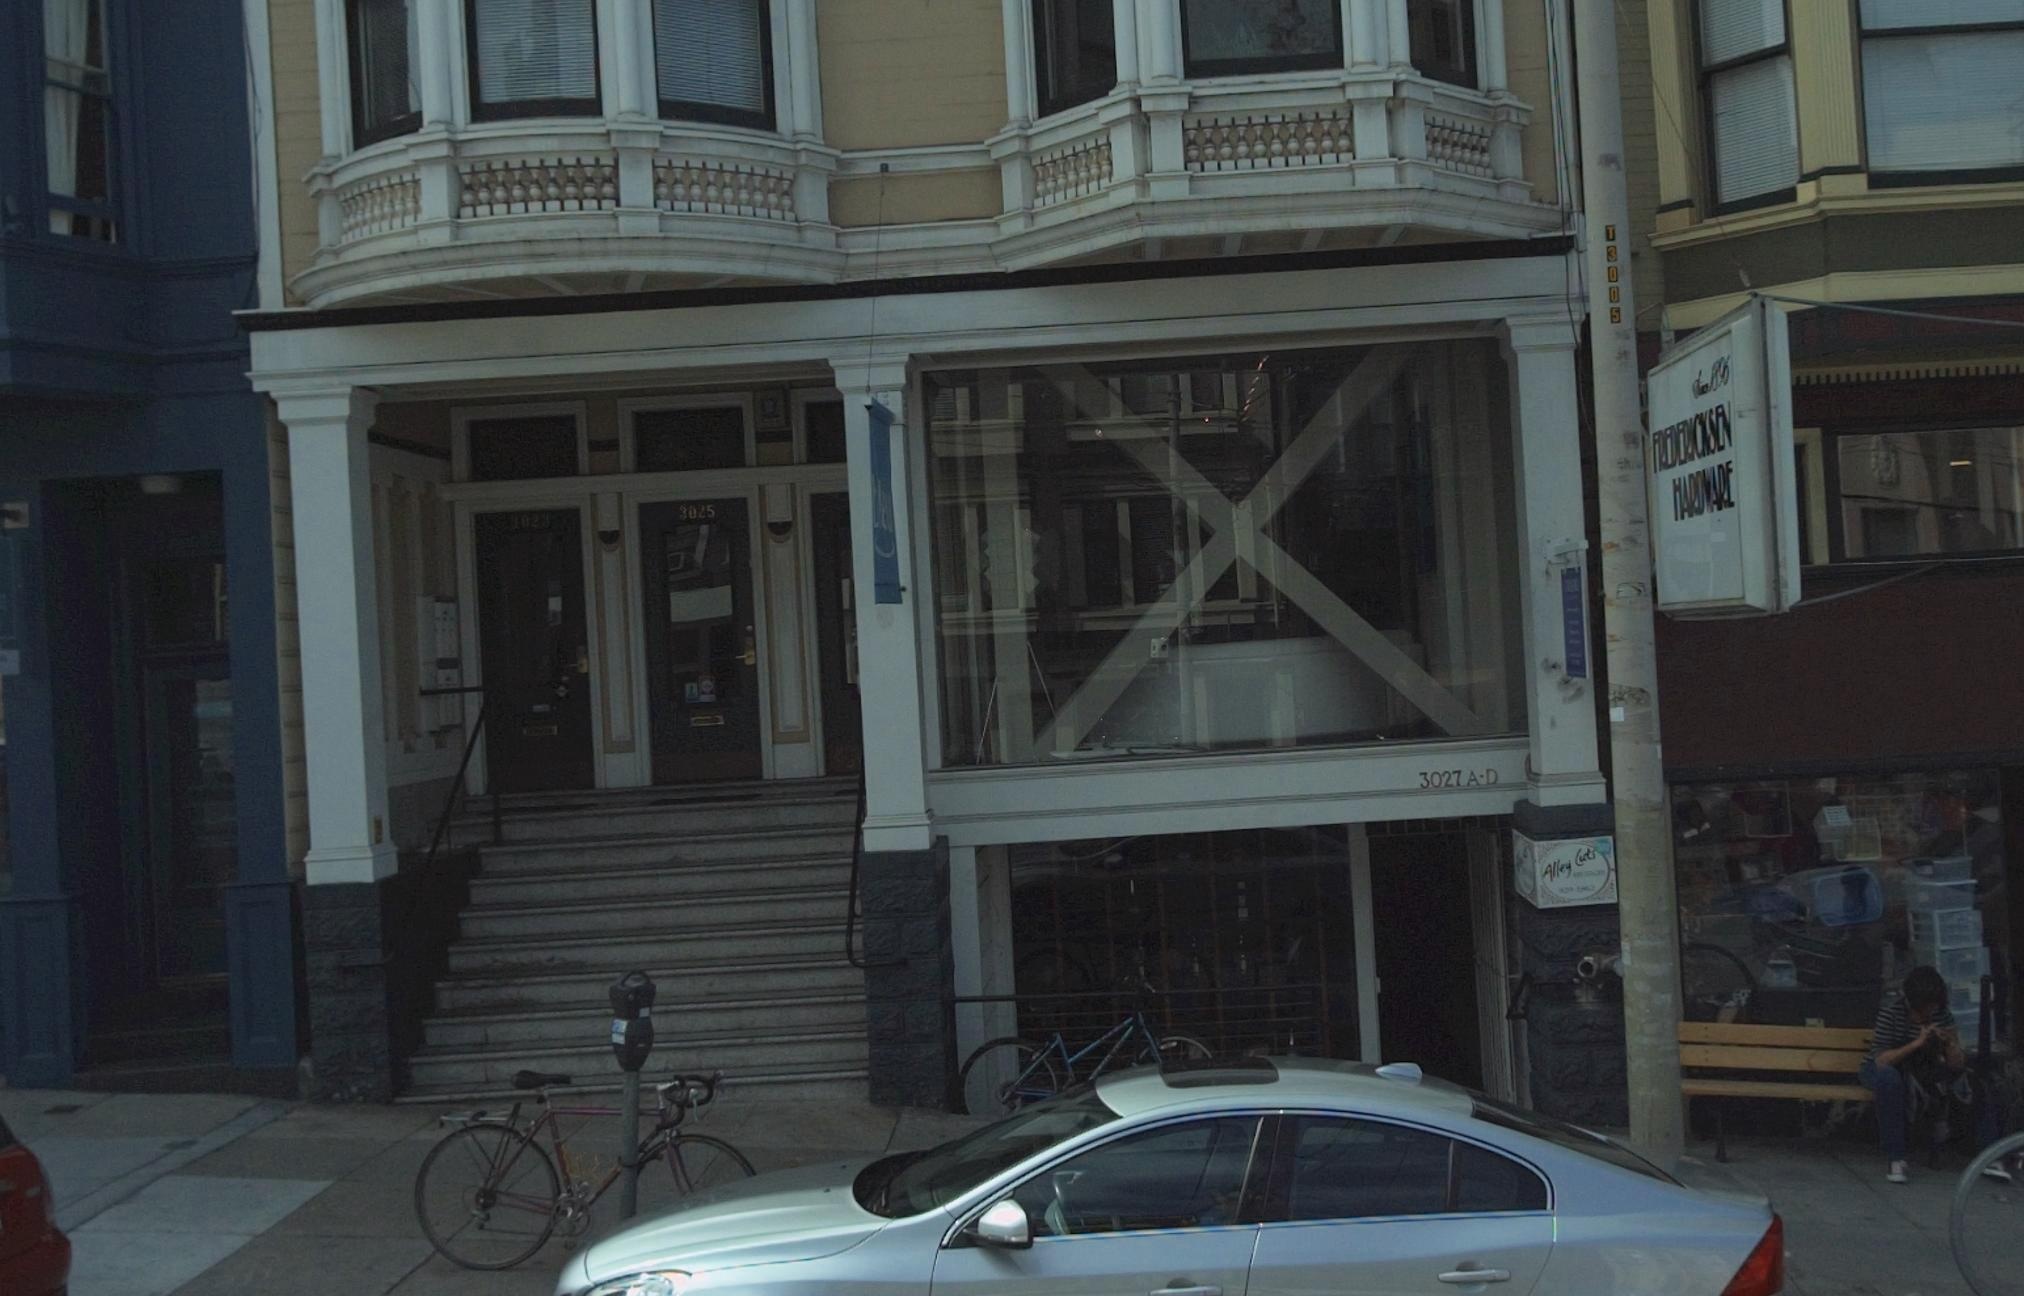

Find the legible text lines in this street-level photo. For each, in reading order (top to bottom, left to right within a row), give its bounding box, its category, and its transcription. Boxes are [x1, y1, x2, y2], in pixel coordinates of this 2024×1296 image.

[1603, 223, 1623, 326] None: T3005
[508, 509, 555, 535] StreetNumber: *023
[676, 501, 719, 524] StreetNumber: 3025
[1669, 473, 1685, 524] BusinessName: H
[1415, 765, 1501, 791] StreetNumber: 3027 A-D
[1539, 844, 1598, 886] BusinessName: Alley Cuts